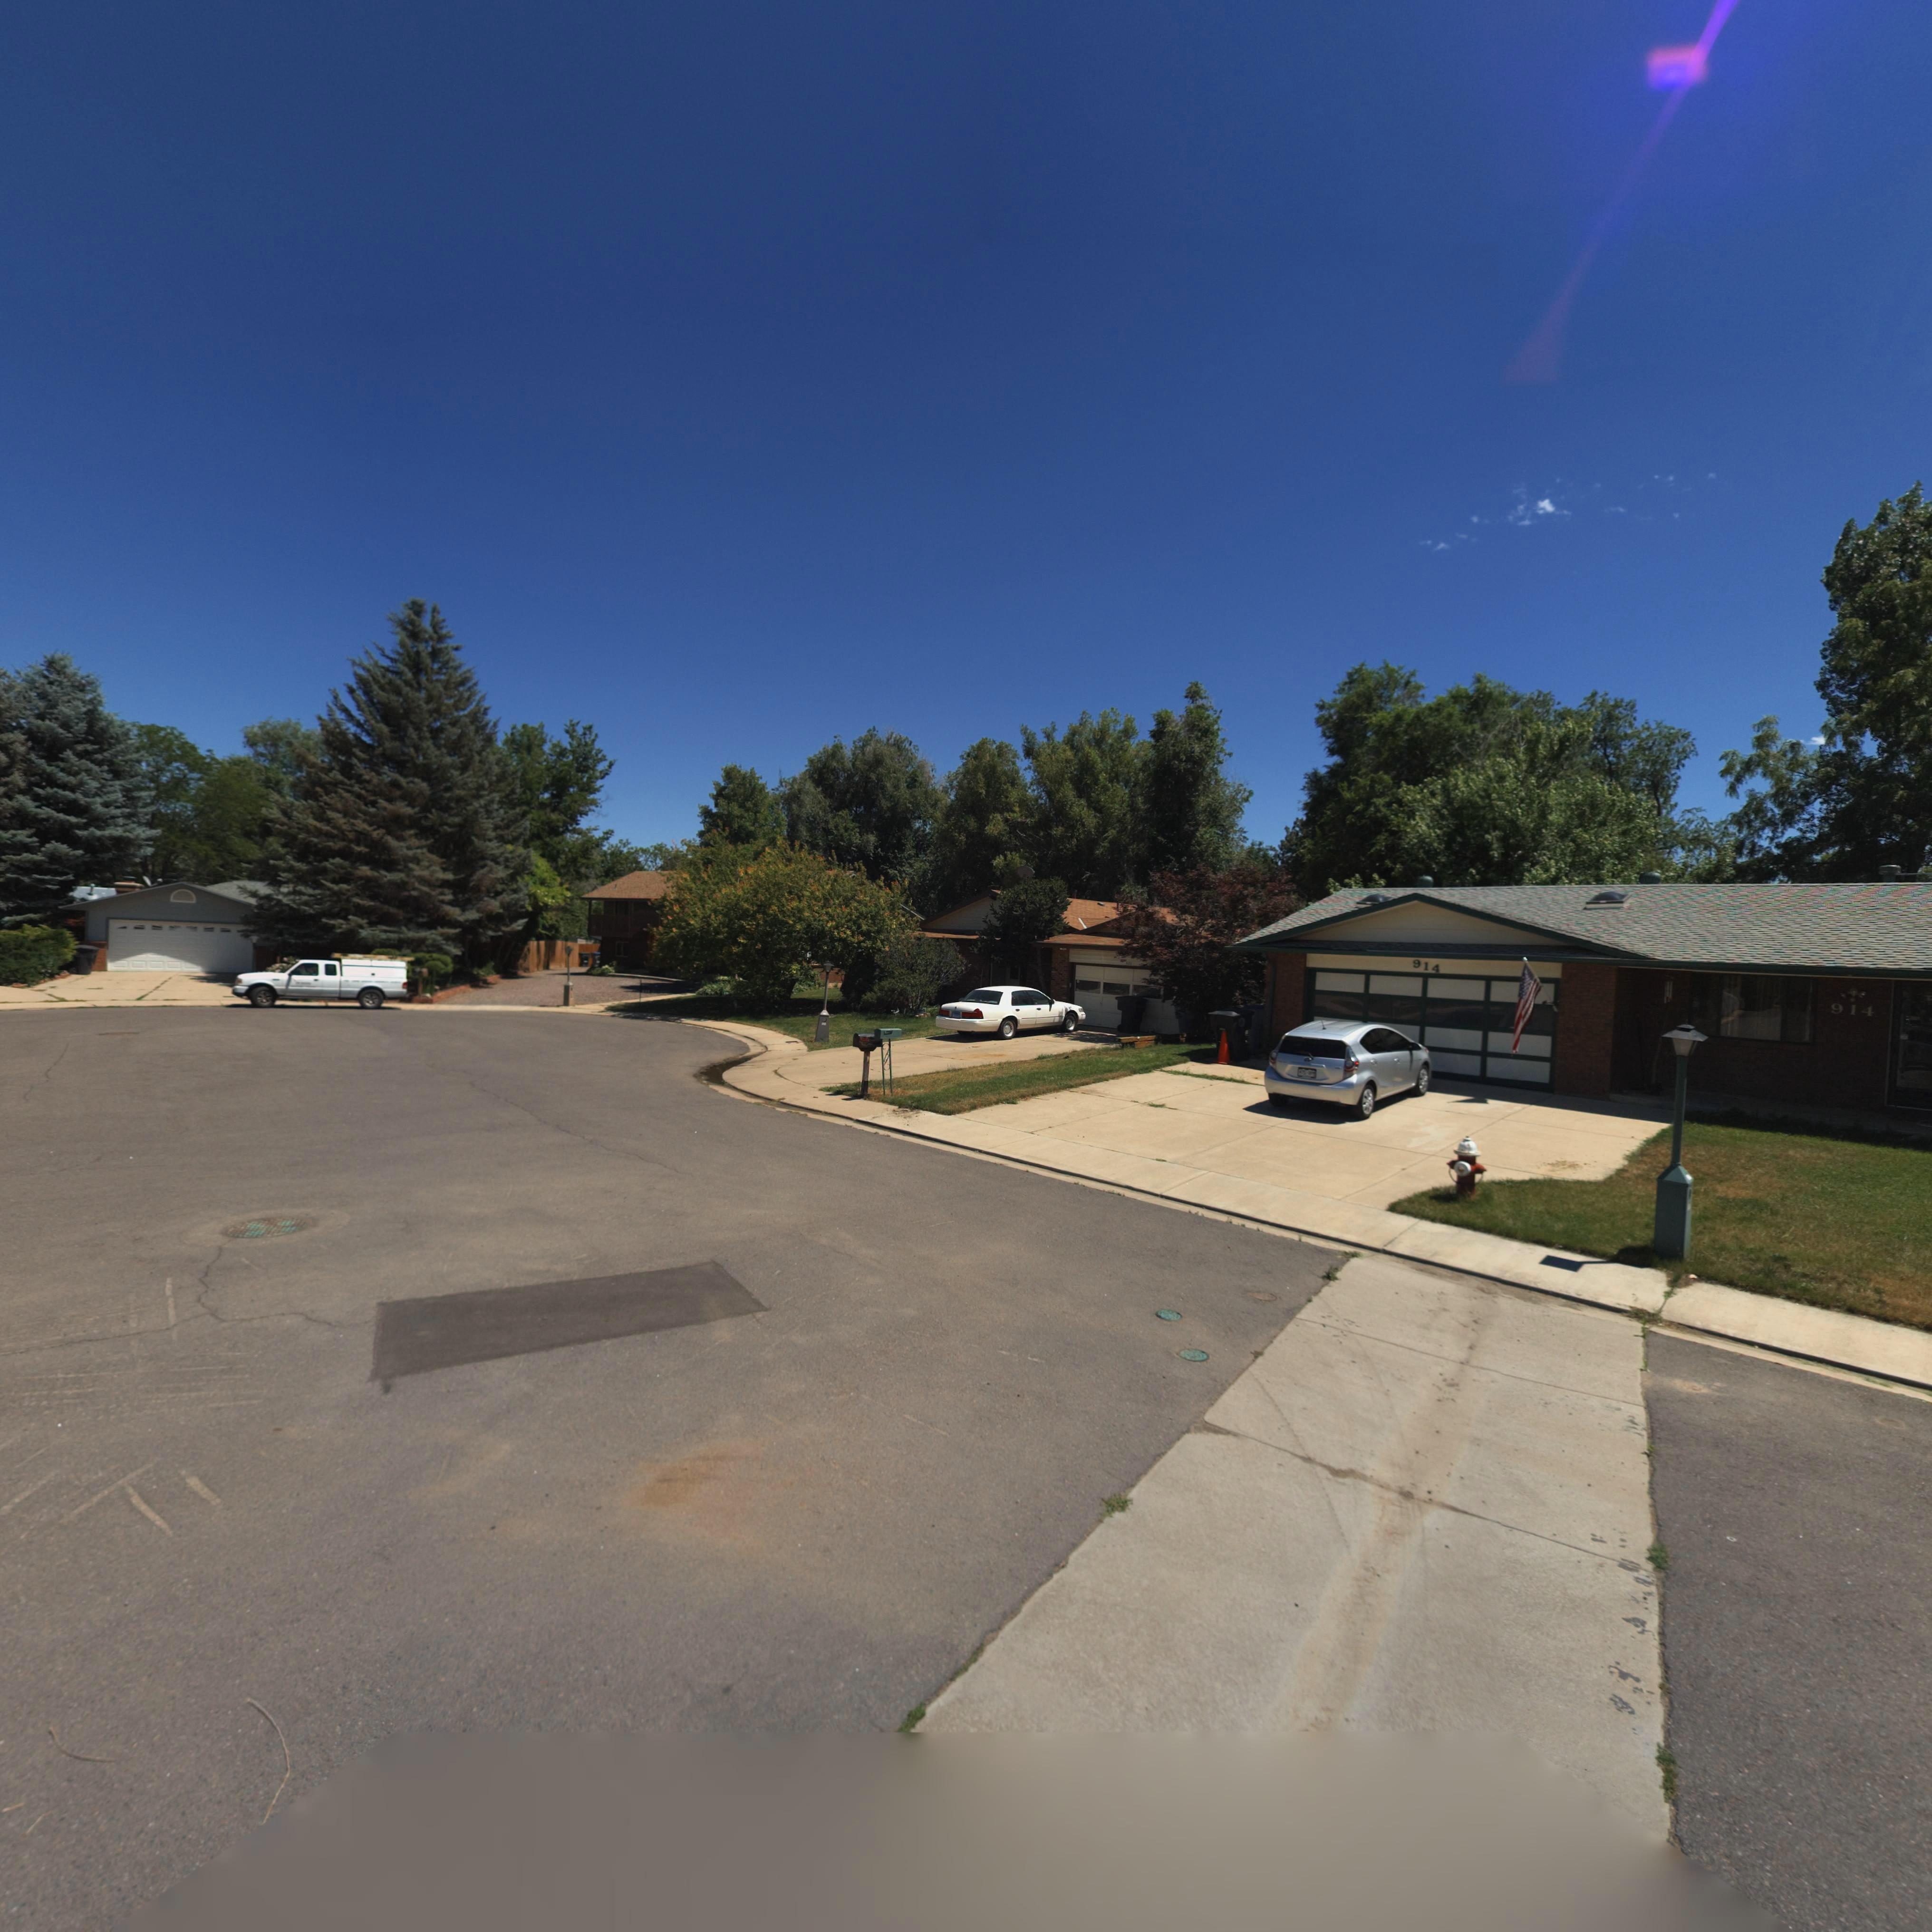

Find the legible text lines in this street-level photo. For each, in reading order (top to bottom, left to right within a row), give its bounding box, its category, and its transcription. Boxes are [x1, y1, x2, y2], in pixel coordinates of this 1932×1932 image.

[1413, 959, 1440, 973] StreetNumber: 914
[1830, 1002, 1874, 1018] StreetNumber: 914